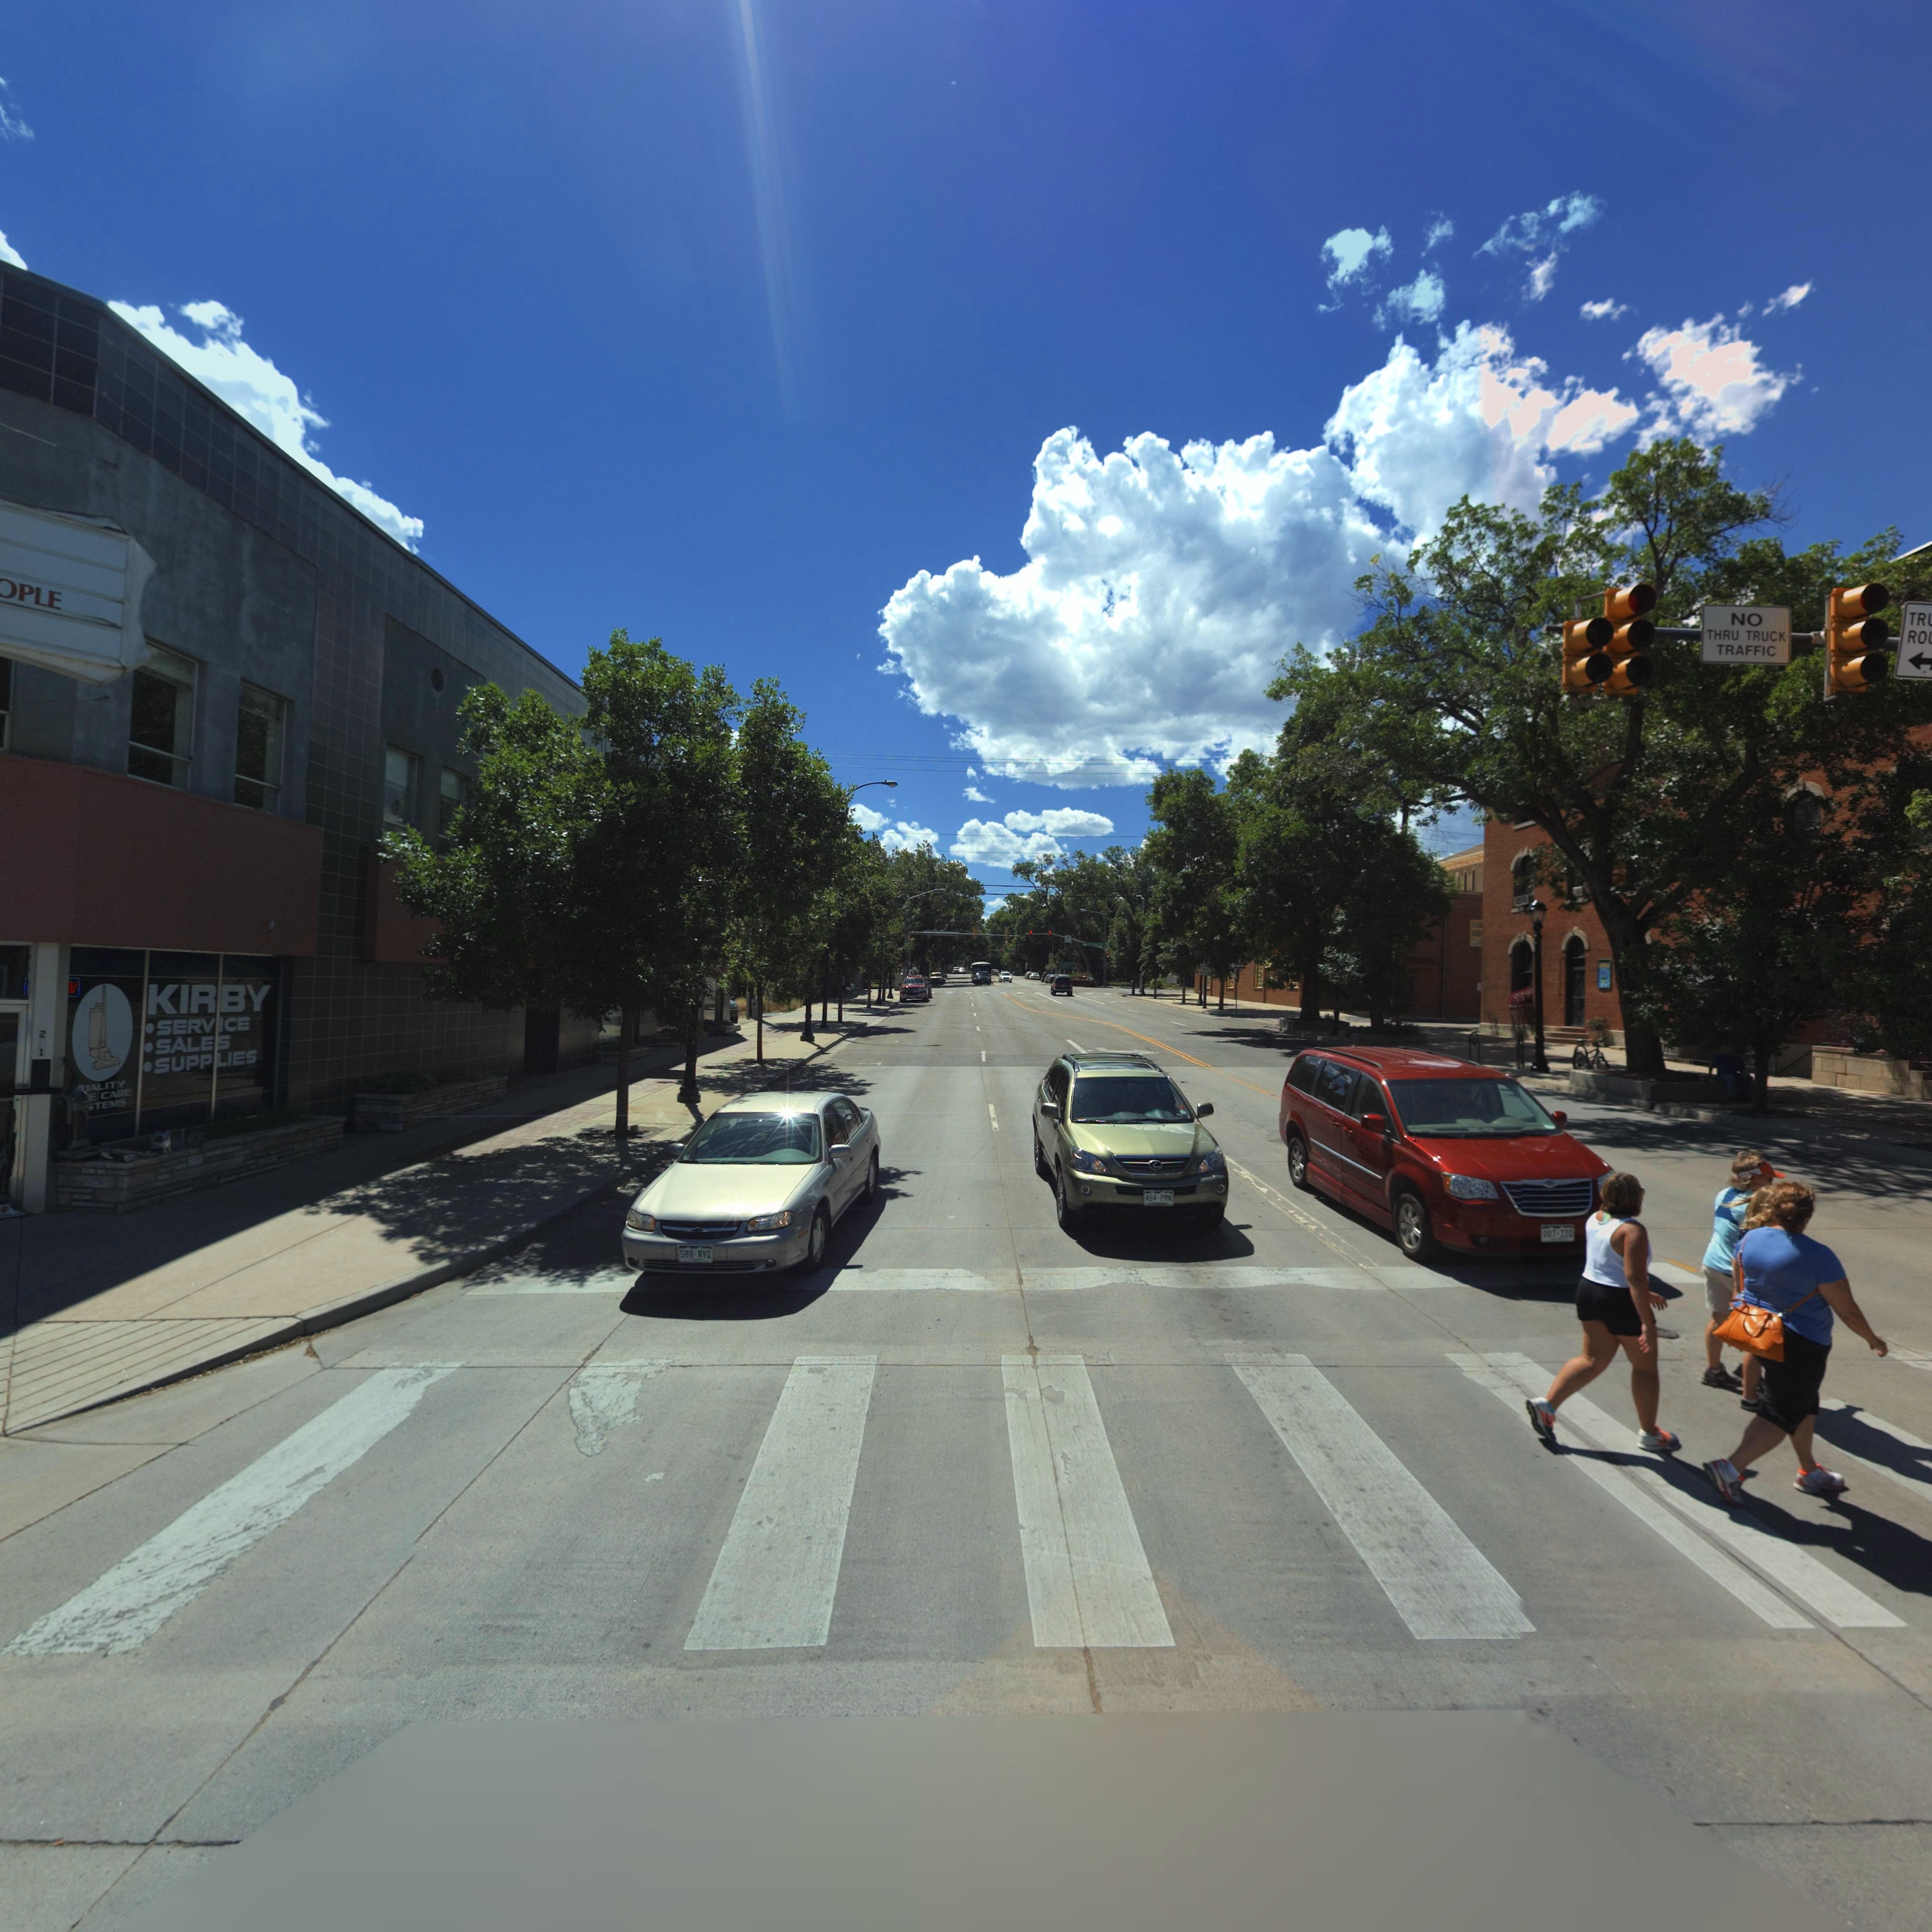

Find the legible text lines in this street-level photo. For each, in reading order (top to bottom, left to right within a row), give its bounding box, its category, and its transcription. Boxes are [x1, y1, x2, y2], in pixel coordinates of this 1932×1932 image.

[147, 983, 272, 1015] BusinessName: KIRBY
[39, 1029, 46, 1056] StreetNumber: 21